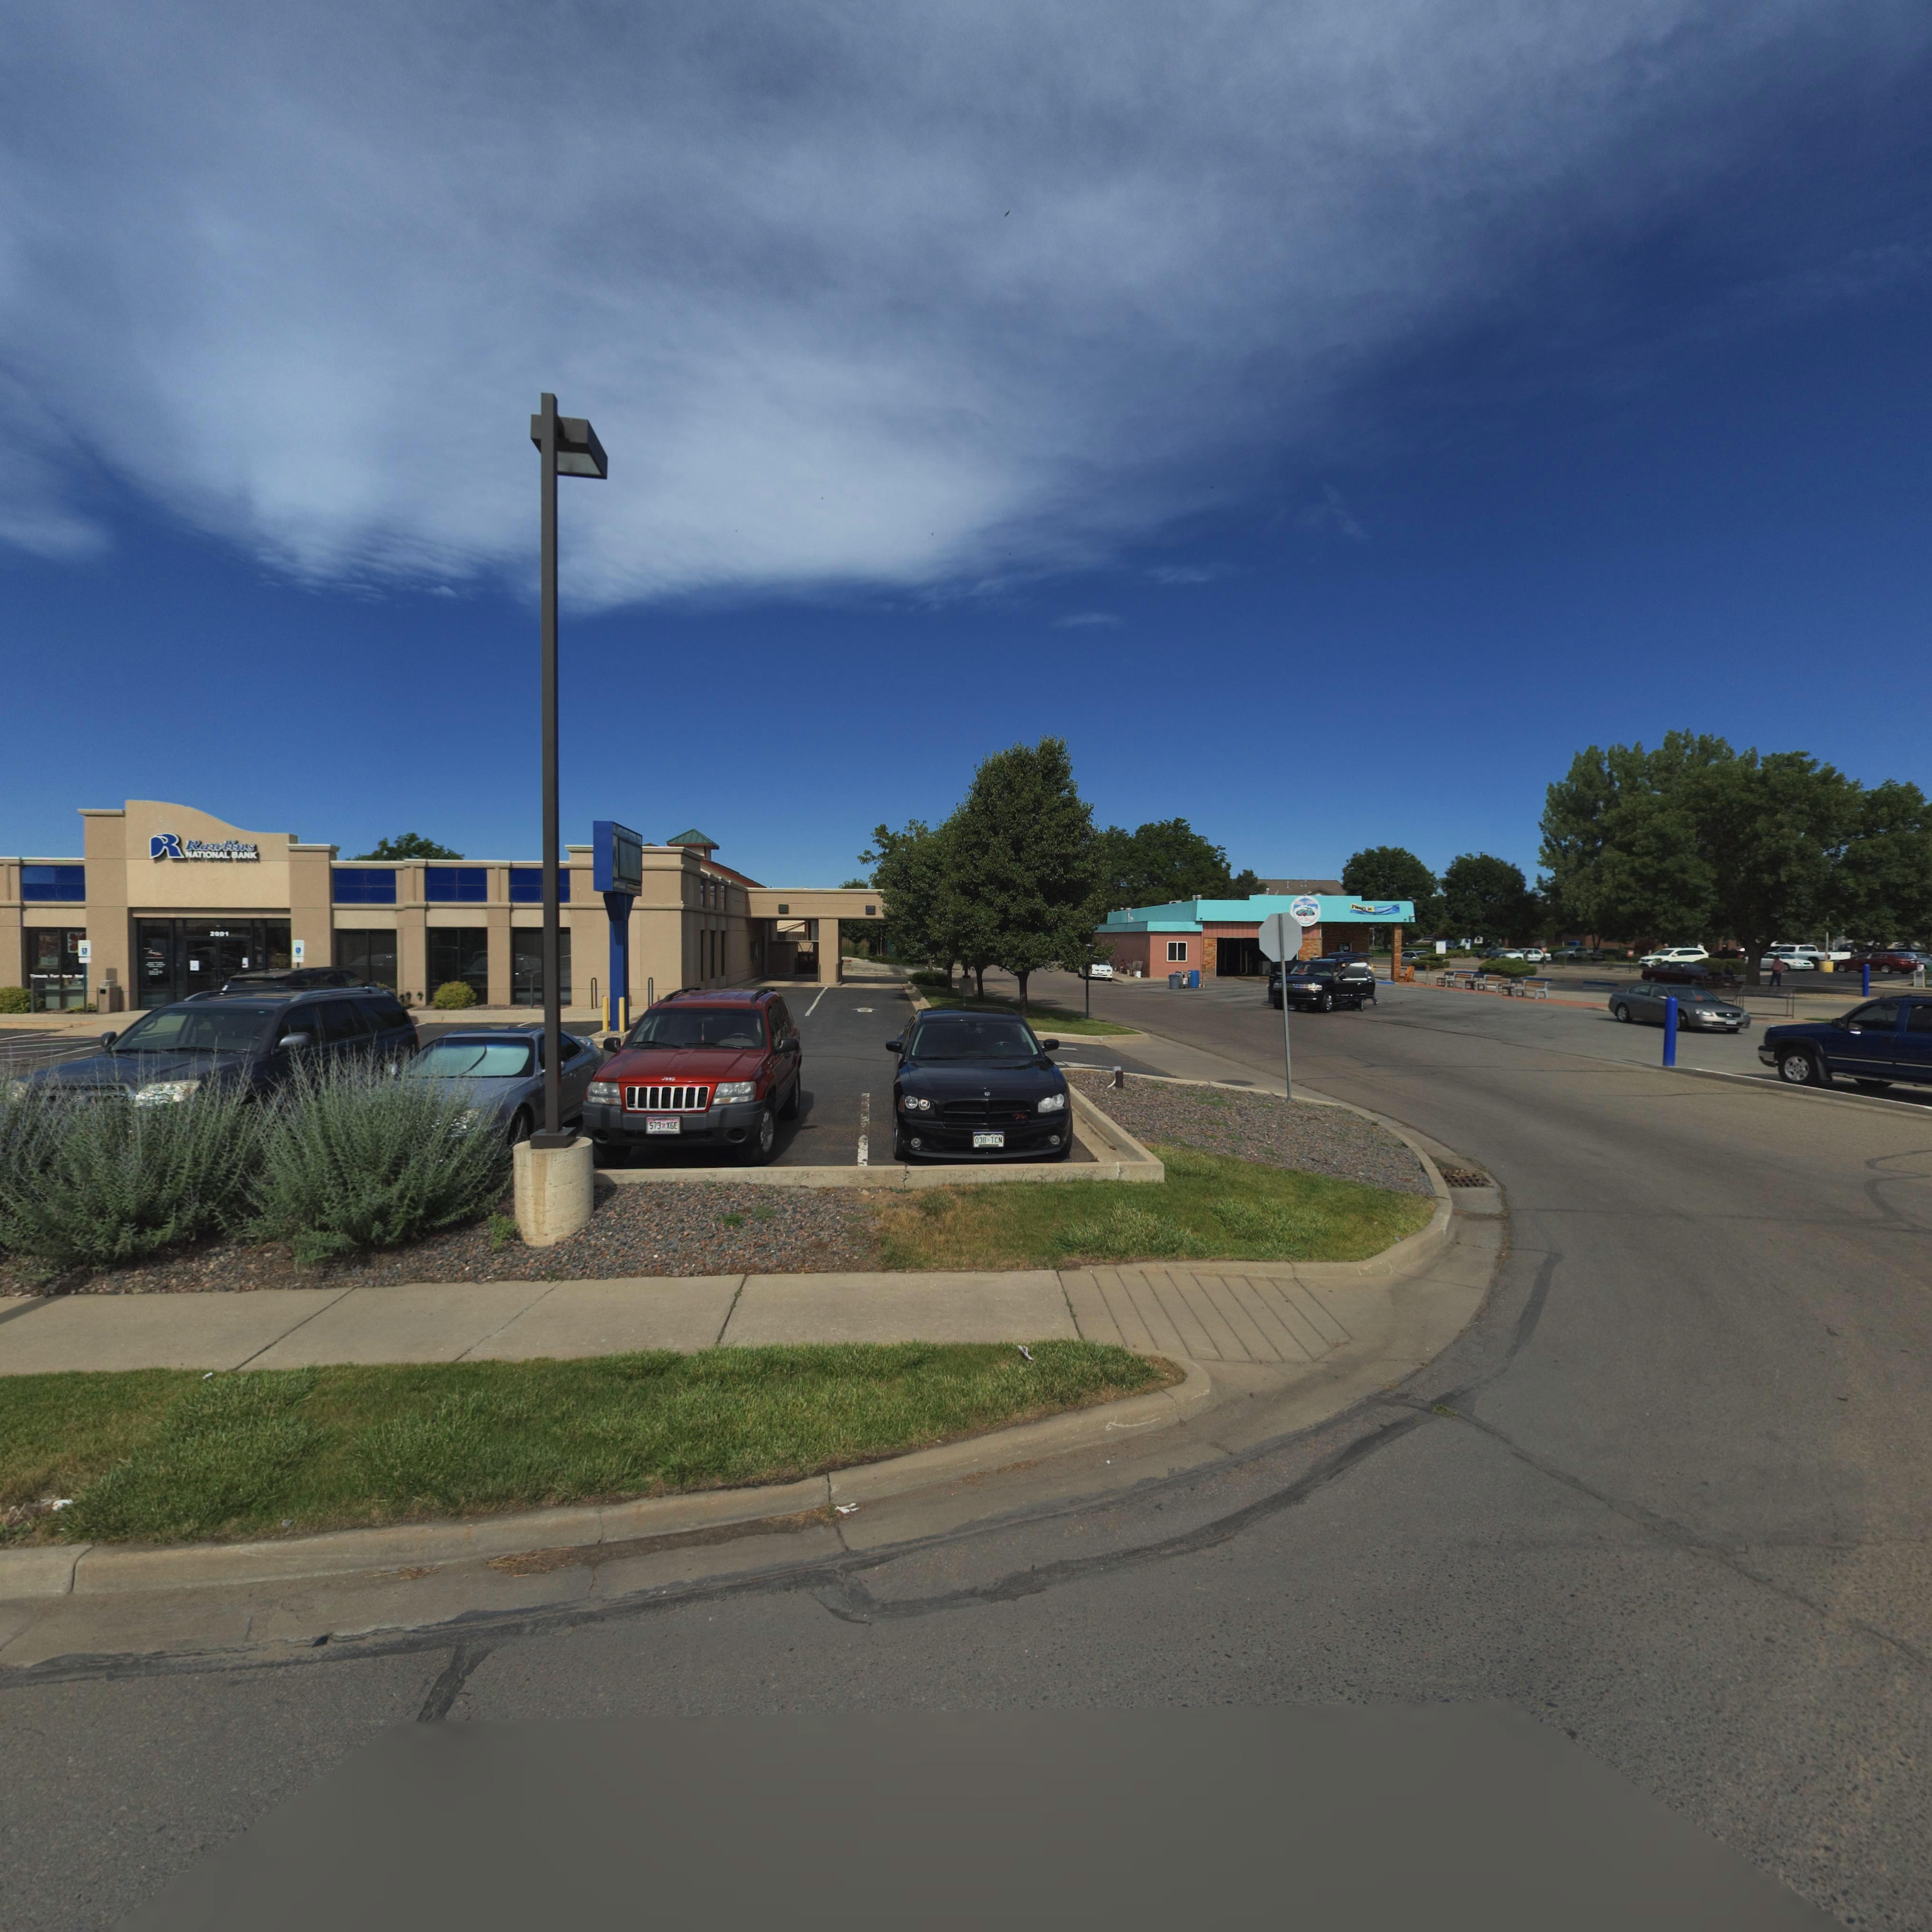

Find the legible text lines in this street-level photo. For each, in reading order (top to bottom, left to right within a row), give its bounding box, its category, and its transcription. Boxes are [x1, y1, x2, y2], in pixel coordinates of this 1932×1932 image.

[184, 839, 254, 850] BusinessName: Rawlins
[185, 850, 258, 859] BusinessName: NATIONAL BANK
[210, 931, 228, 936] StreetNumber: 2031